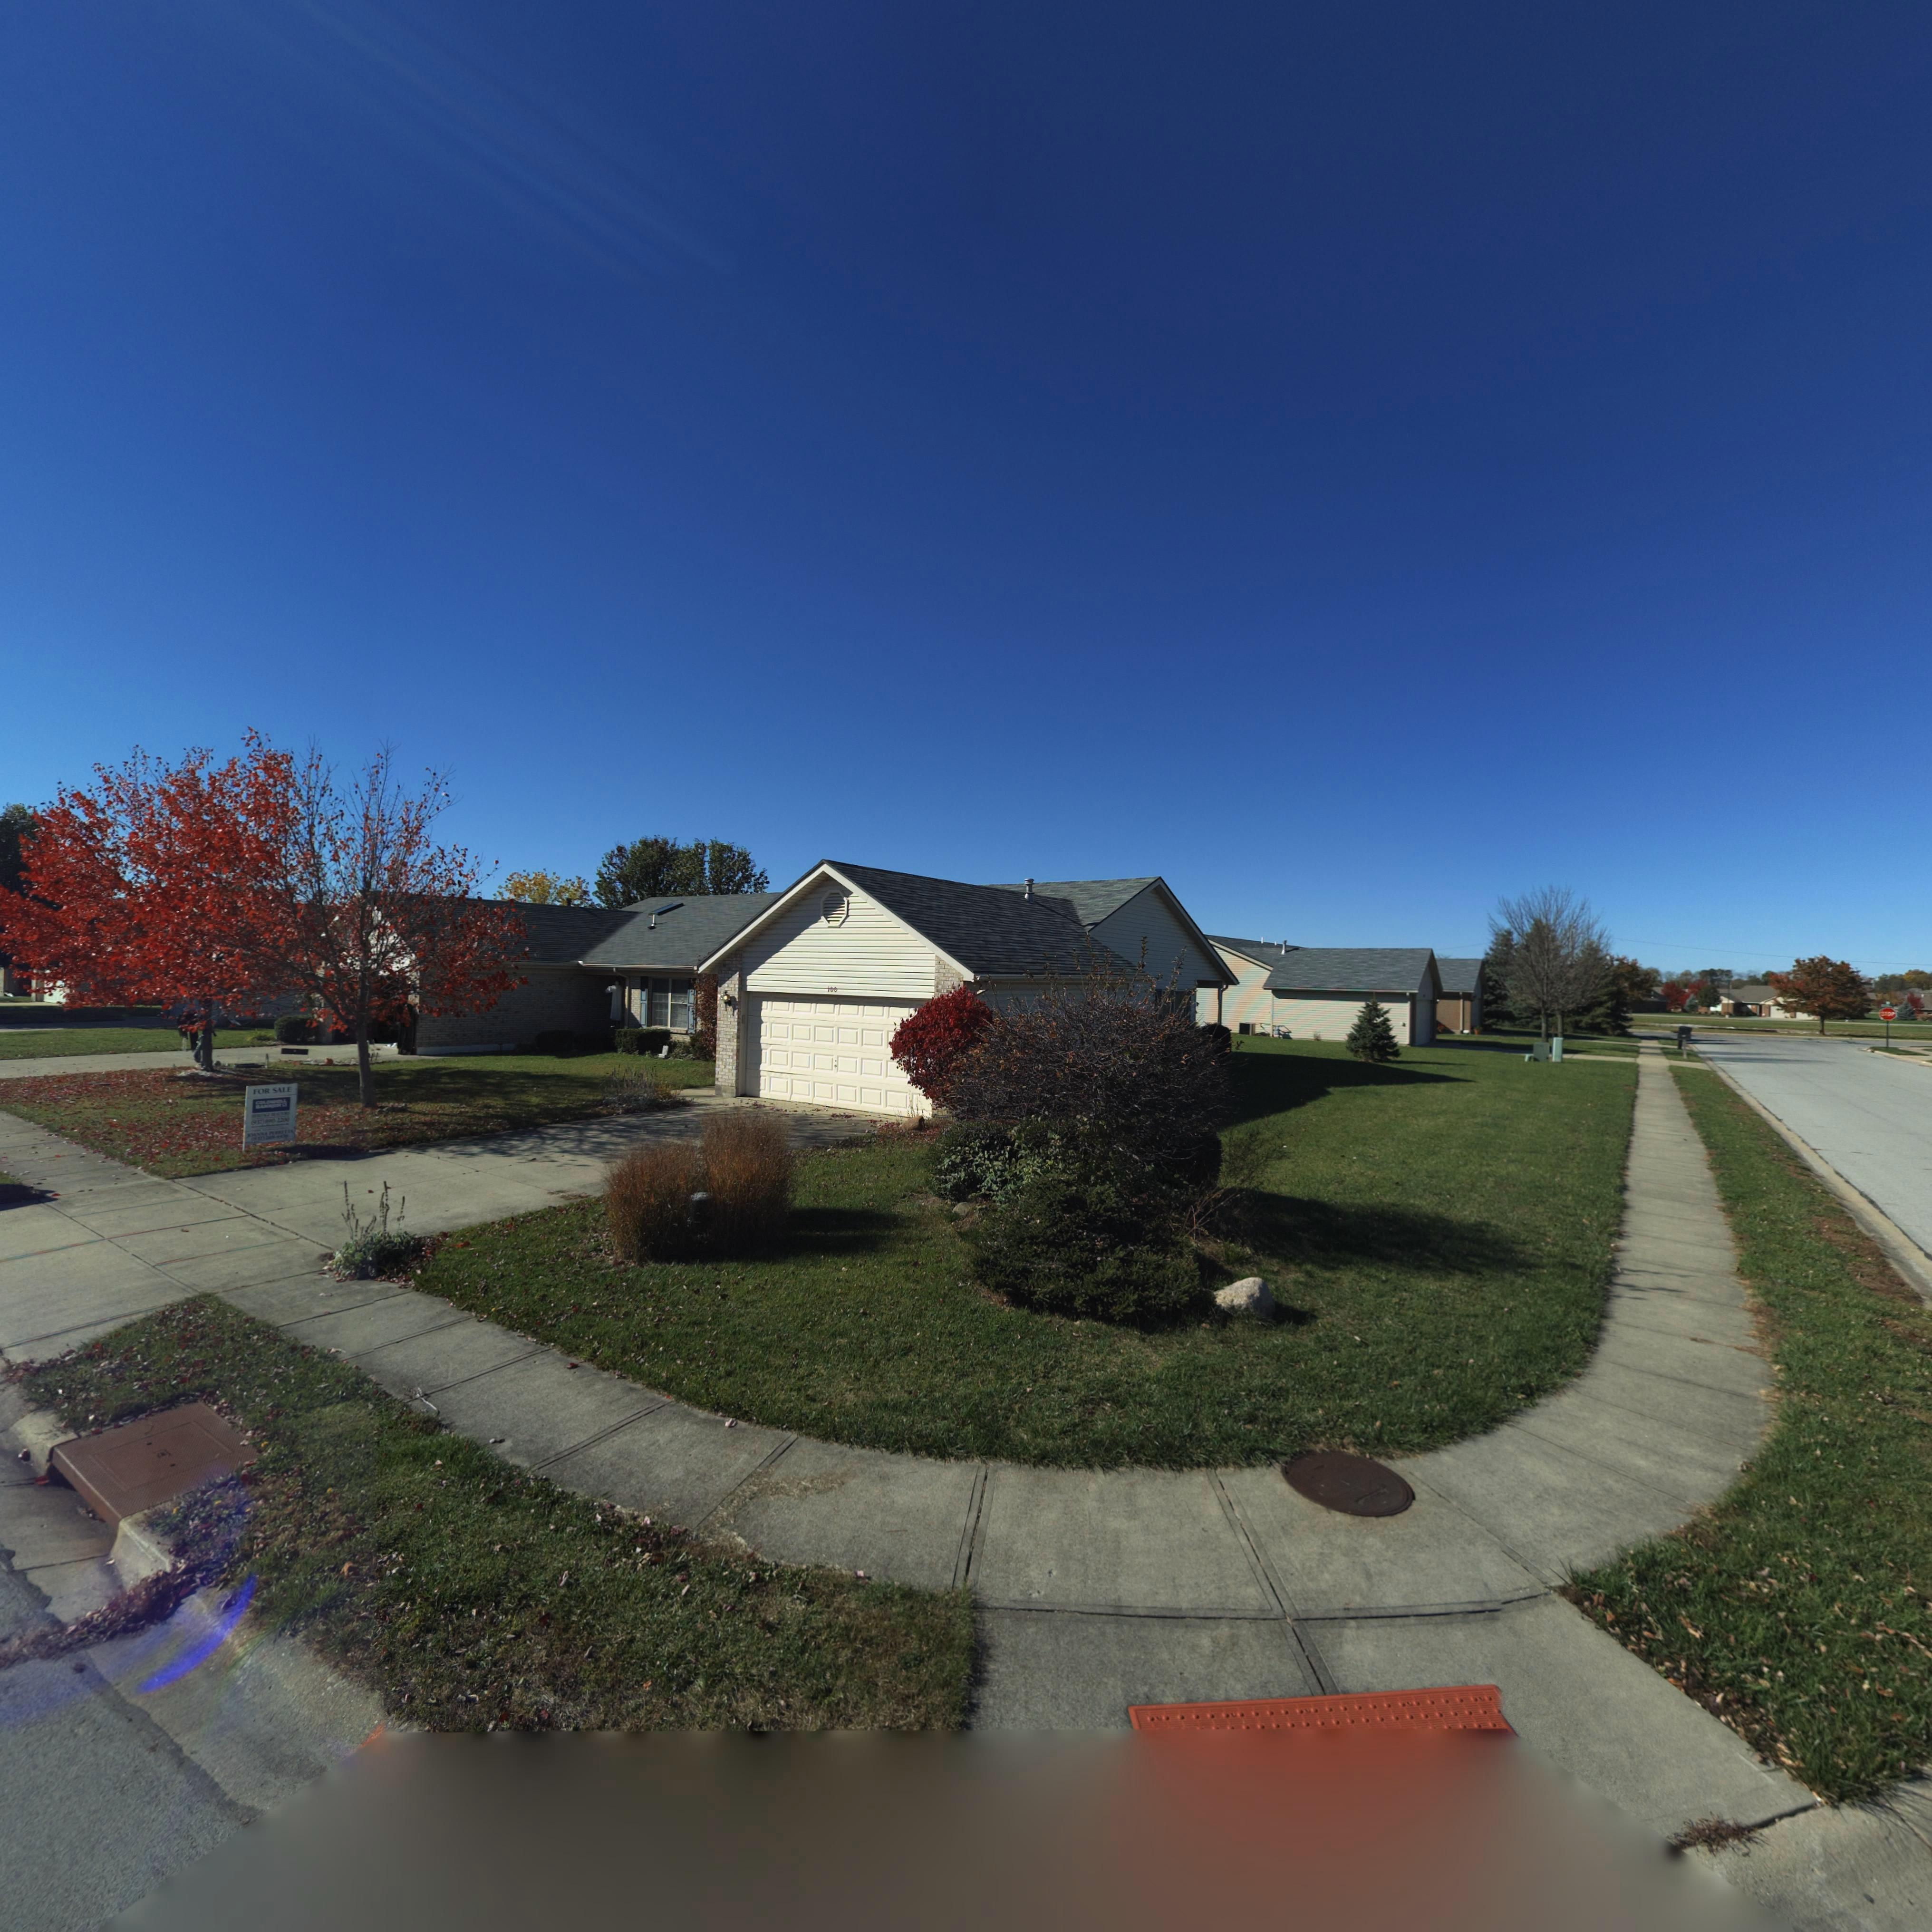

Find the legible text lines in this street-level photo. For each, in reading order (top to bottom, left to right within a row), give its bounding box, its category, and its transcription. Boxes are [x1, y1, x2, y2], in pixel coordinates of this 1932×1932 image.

[827, 986, 838, 993] StreetNumber: 100
[251, 1086, 293, 1096] None: FOR SALE